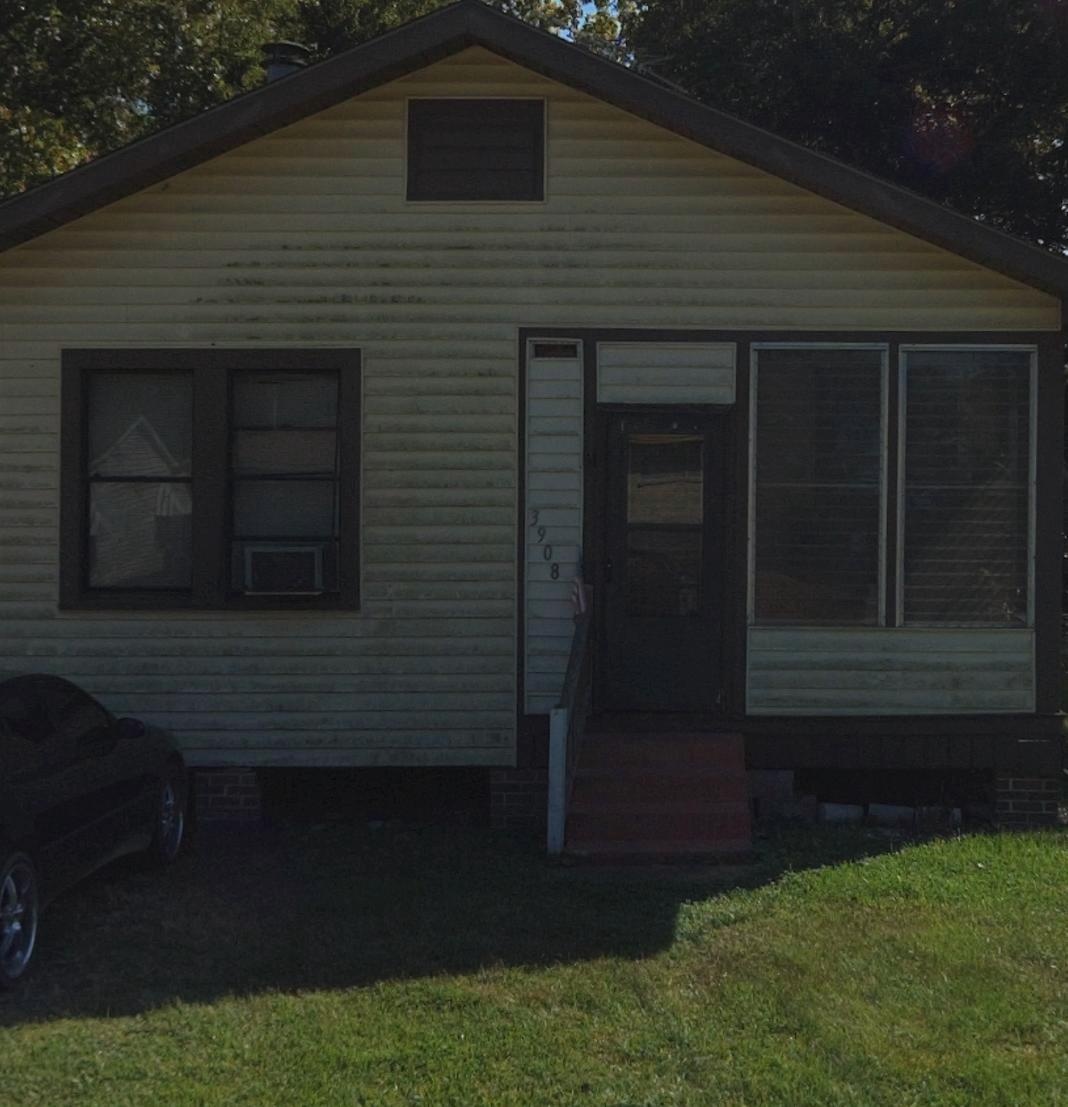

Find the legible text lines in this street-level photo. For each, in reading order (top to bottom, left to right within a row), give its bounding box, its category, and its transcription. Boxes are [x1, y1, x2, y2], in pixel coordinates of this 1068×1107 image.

[529, 508, 560, 580] StreetNumber: 3908